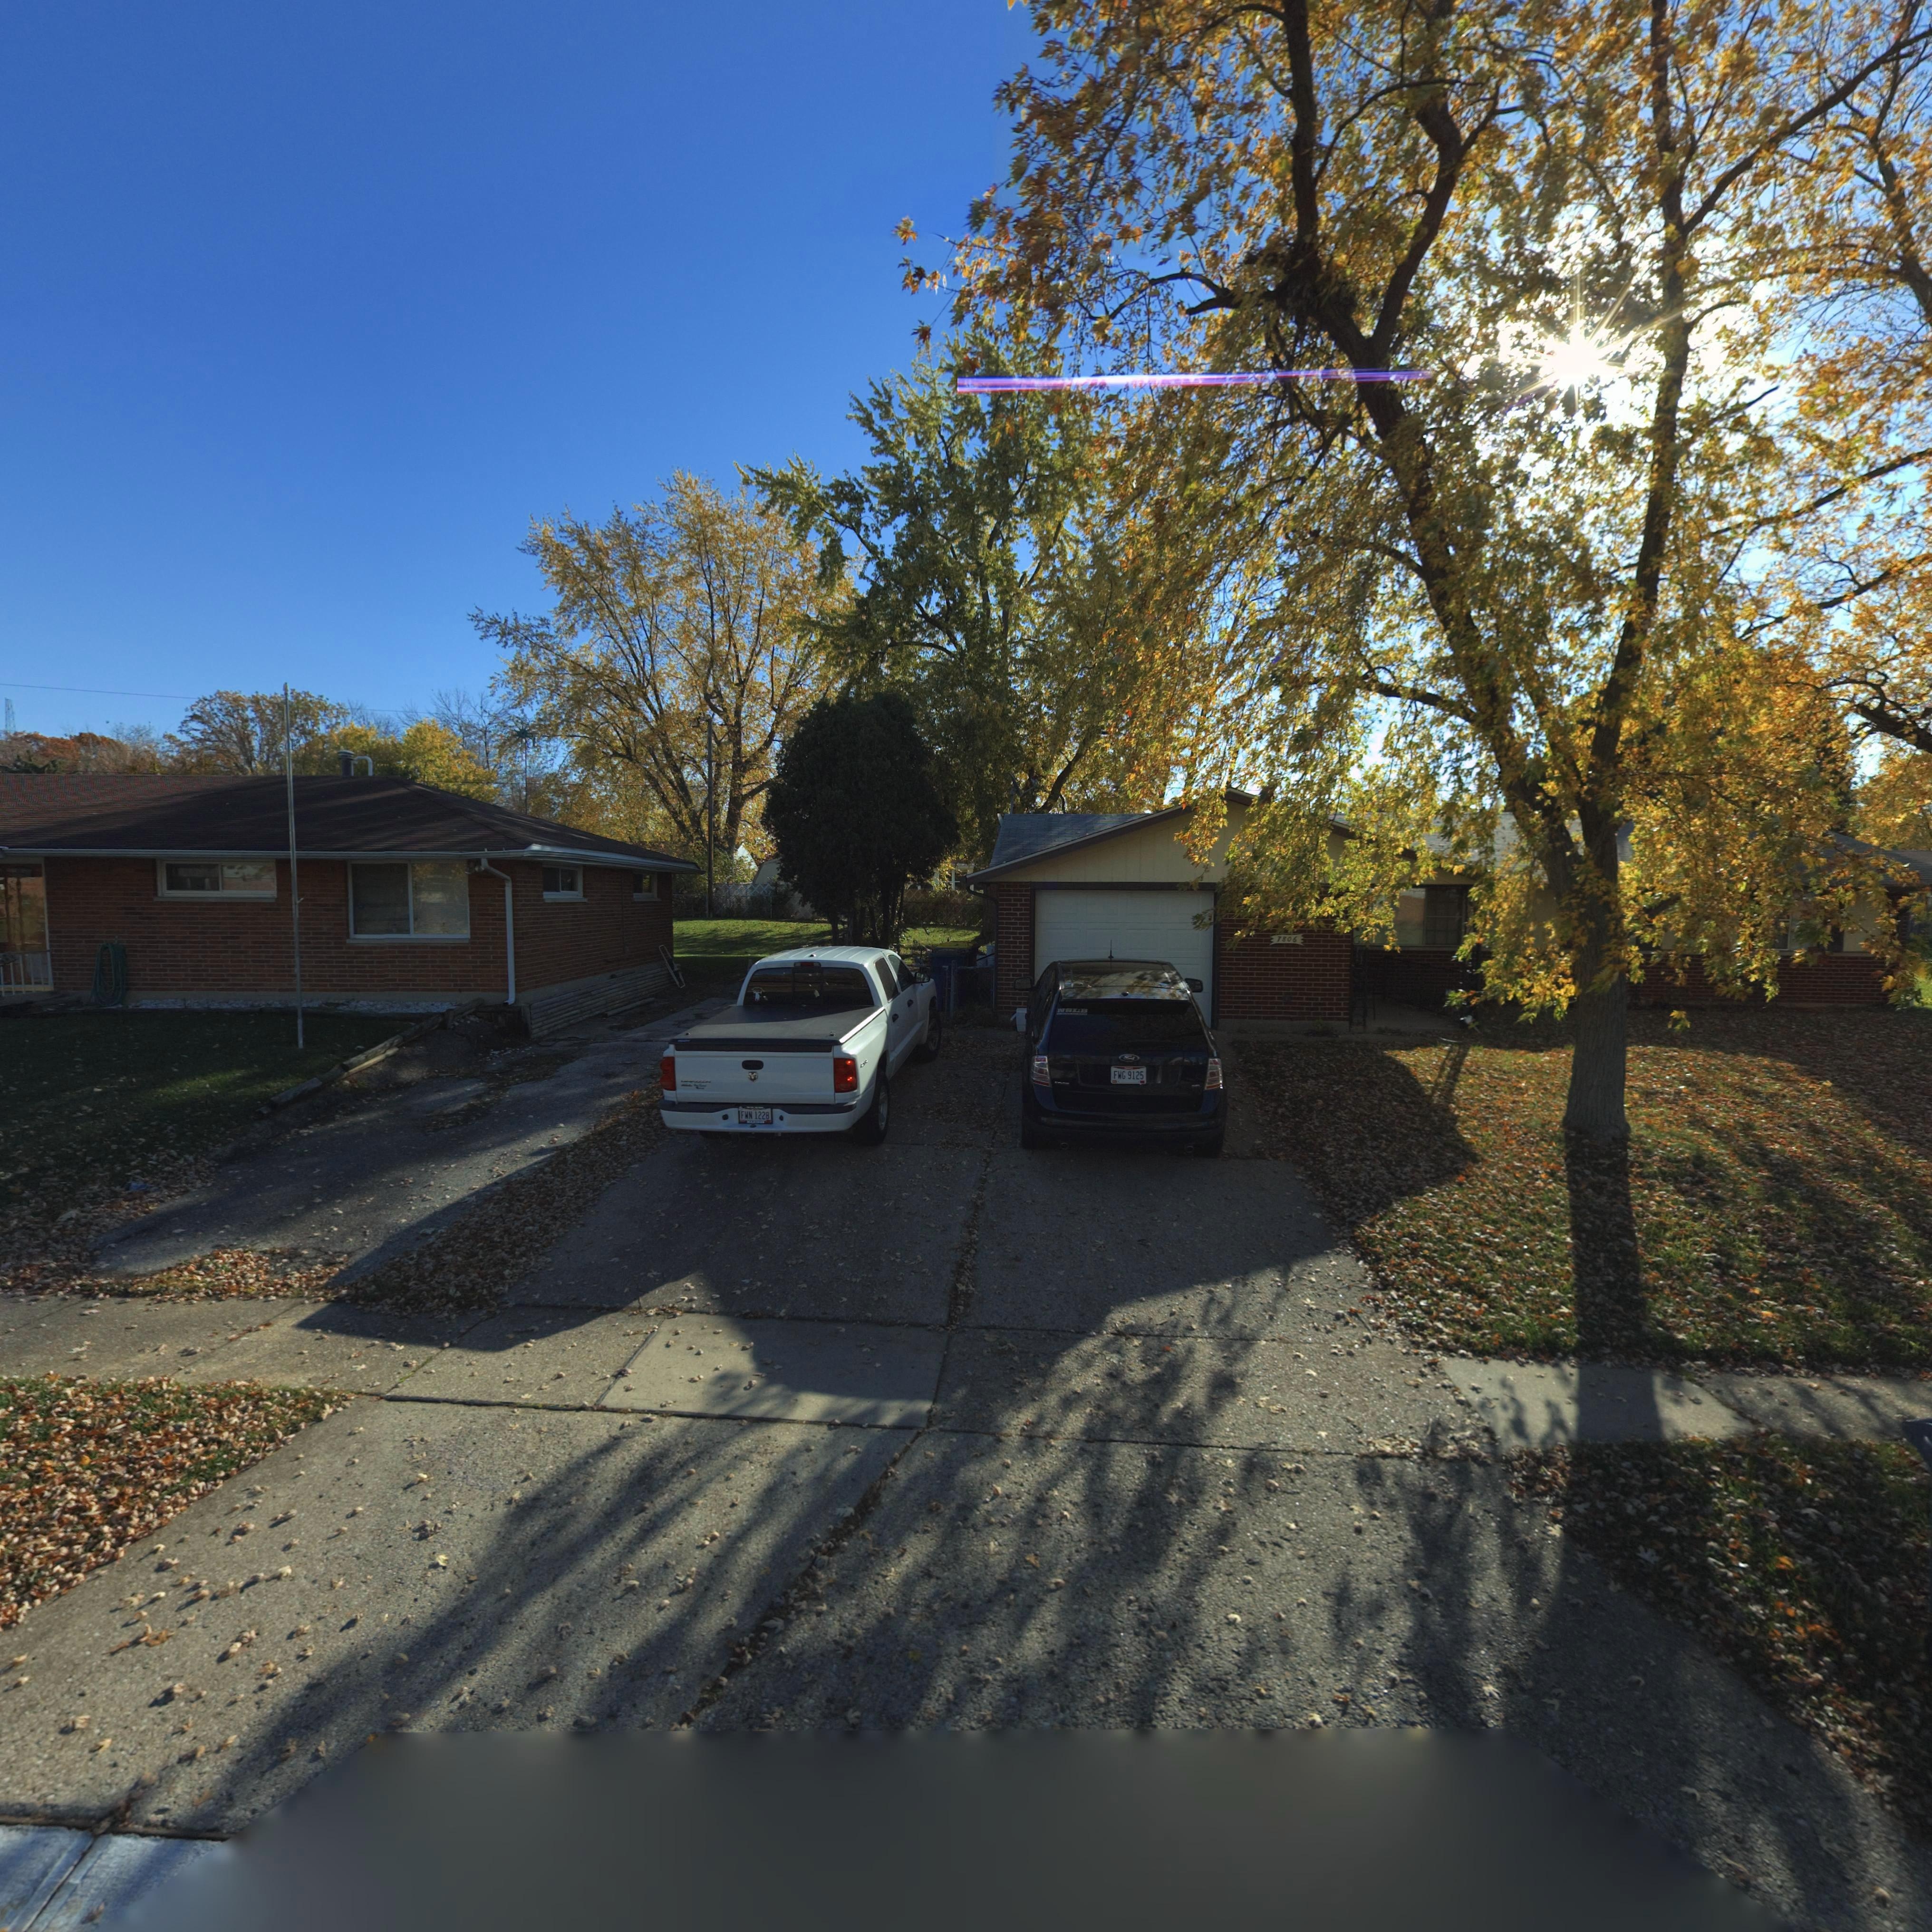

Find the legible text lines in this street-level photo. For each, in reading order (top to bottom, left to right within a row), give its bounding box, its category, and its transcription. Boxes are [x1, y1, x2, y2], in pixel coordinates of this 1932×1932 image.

[1276, 935, 1298, 944] StreetNumber: 7806